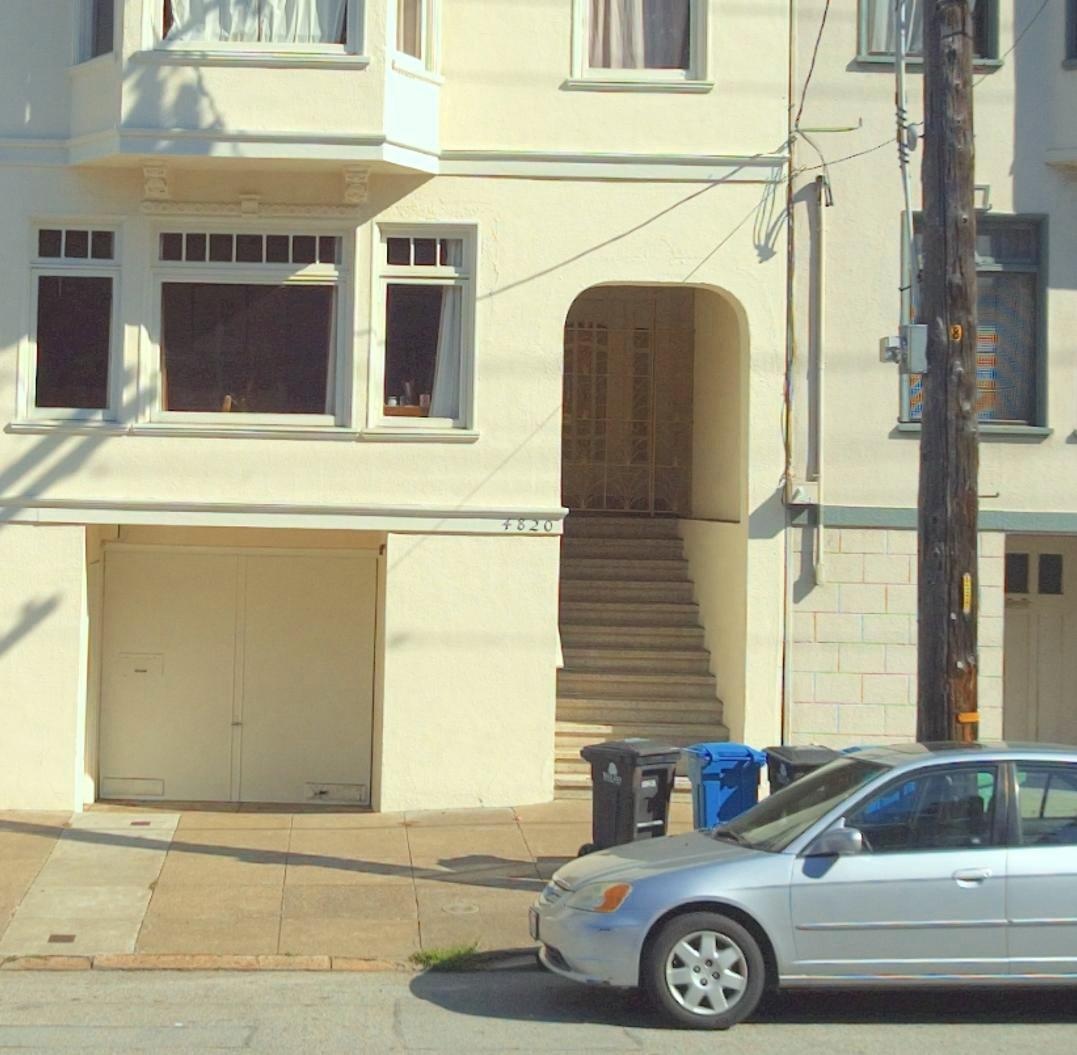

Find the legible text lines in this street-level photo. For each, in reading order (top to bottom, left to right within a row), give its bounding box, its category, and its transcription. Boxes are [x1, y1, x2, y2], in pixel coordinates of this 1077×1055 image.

[500, 515, 554, 534] StreetNumber: 4820